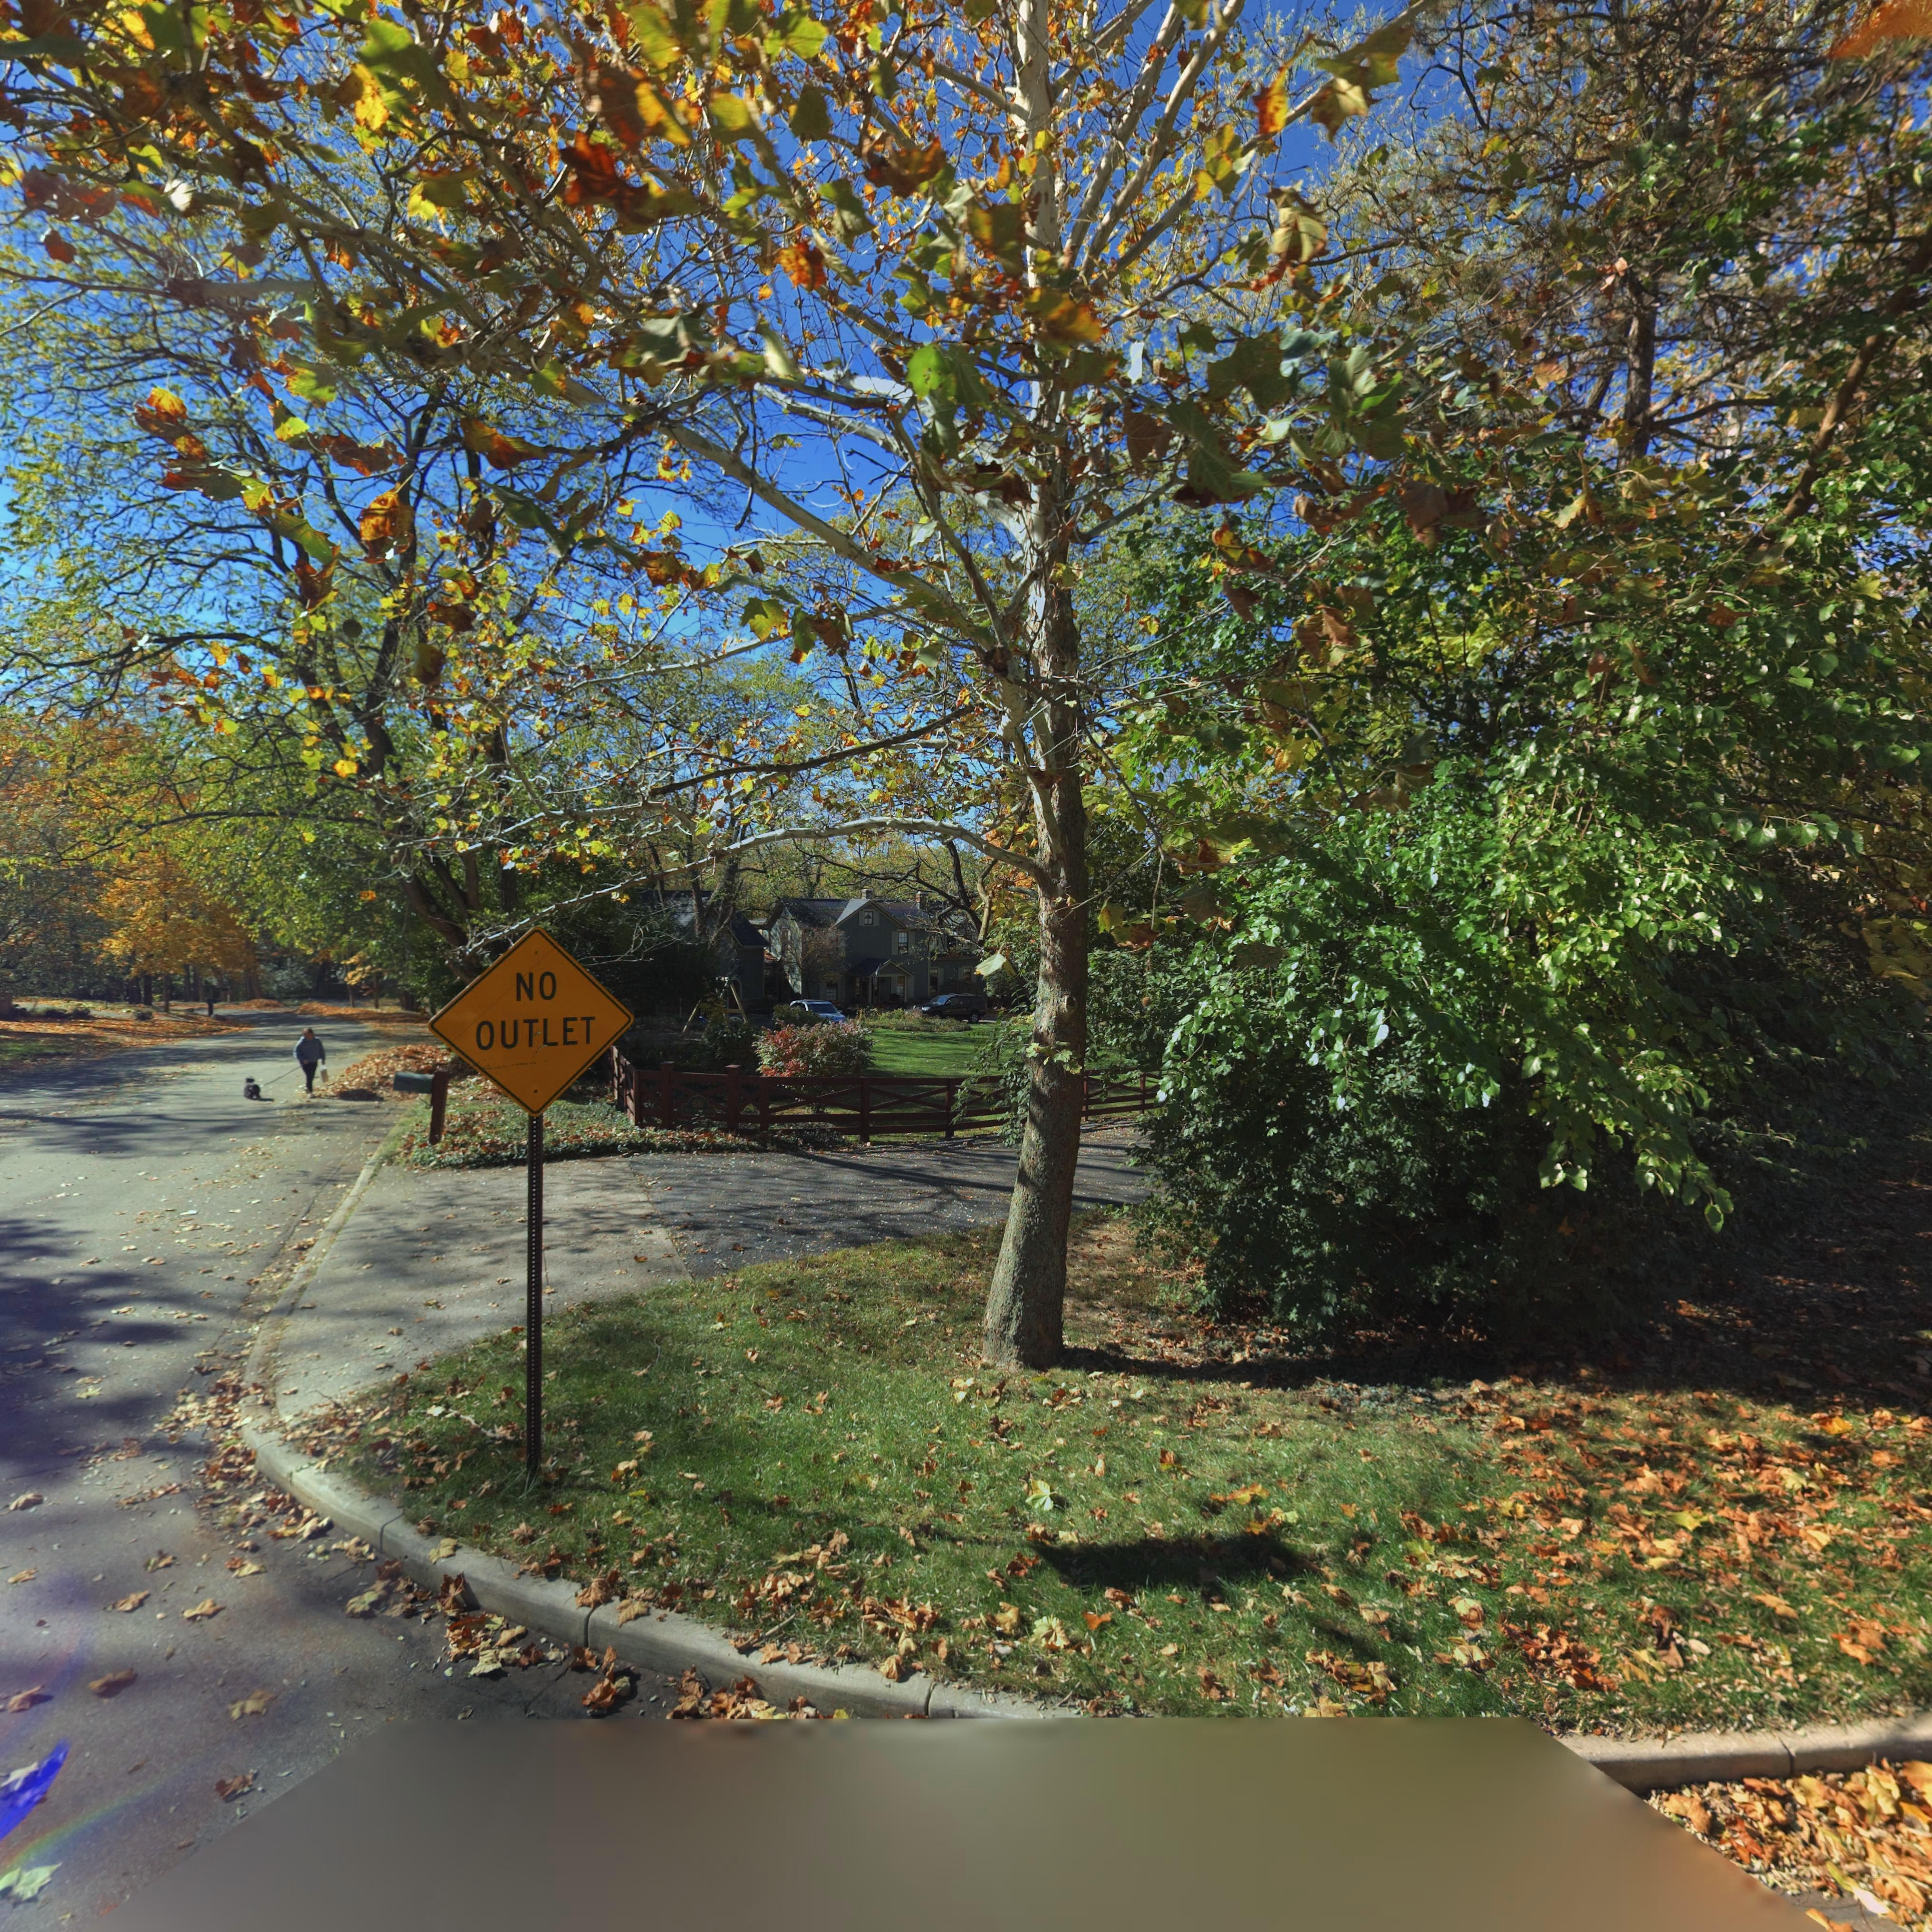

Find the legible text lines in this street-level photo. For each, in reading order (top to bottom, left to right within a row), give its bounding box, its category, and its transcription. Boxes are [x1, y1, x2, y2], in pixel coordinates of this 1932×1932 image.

[692, 1099, 704, 1108] StreetNumber: 610